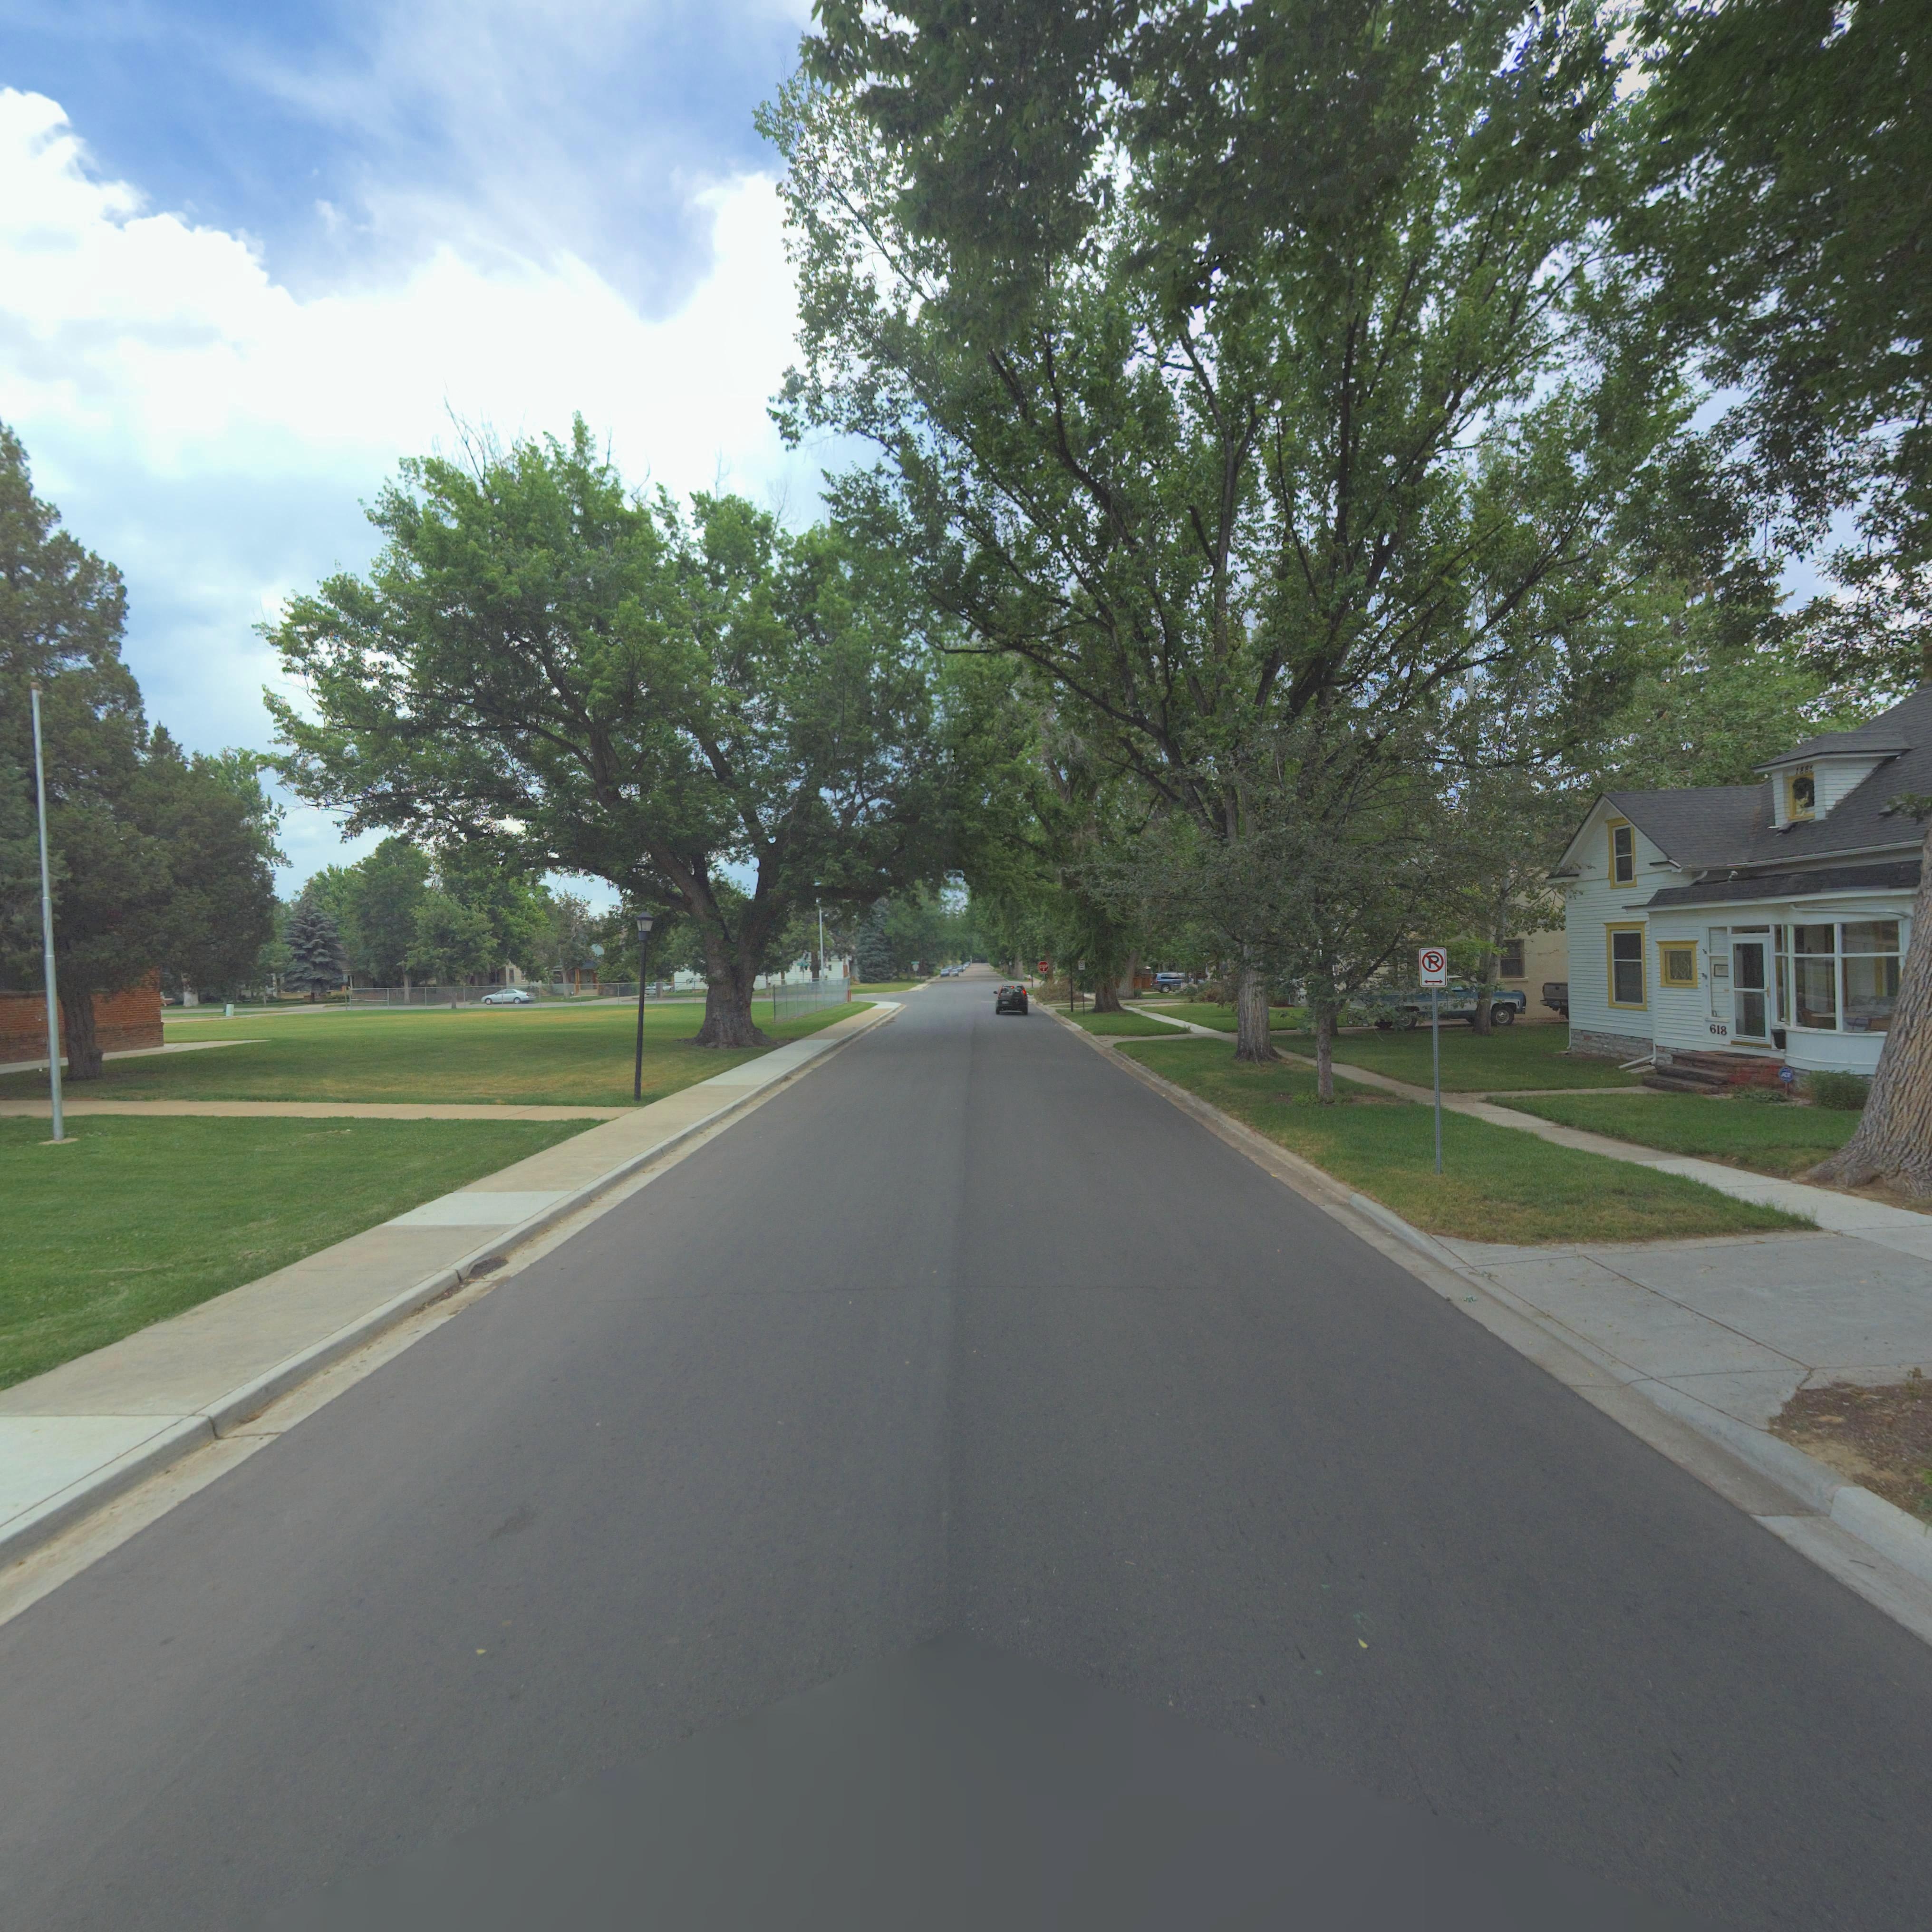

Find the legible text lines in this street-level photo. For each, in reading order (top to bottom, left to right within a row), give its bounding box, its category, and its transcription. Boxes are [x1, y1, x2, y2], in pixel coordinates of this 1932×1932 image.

[1709, 1024, 1727, 1035] StreetNumber: 618